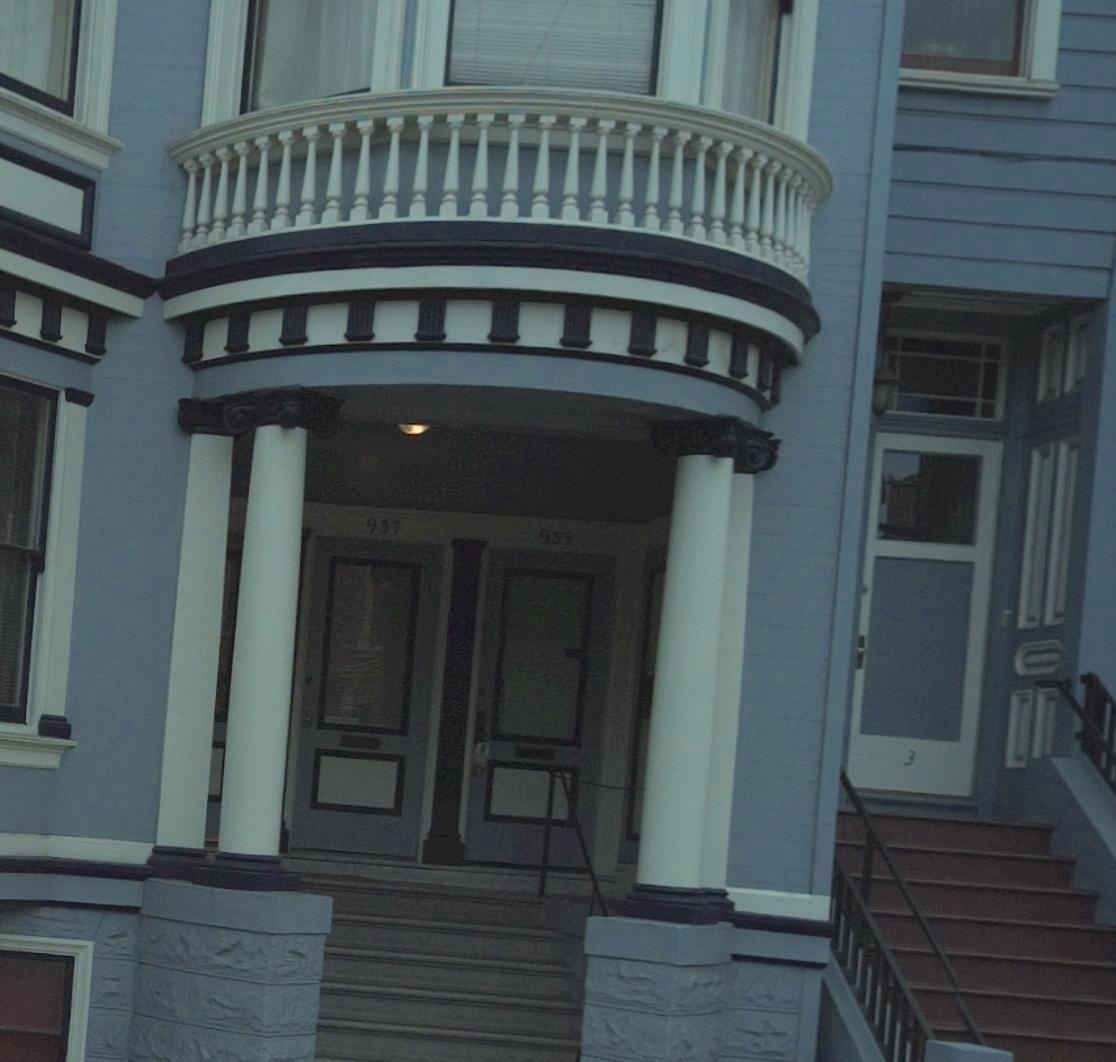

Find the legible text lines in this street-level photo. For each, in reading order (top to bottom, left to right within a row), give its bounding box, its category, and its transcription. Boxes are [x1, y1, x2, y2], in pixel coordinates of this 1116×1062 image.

[364, 515, 403, 537] StreetNumber: 937
[537, 527, 575, 548] StreetNumber: 939